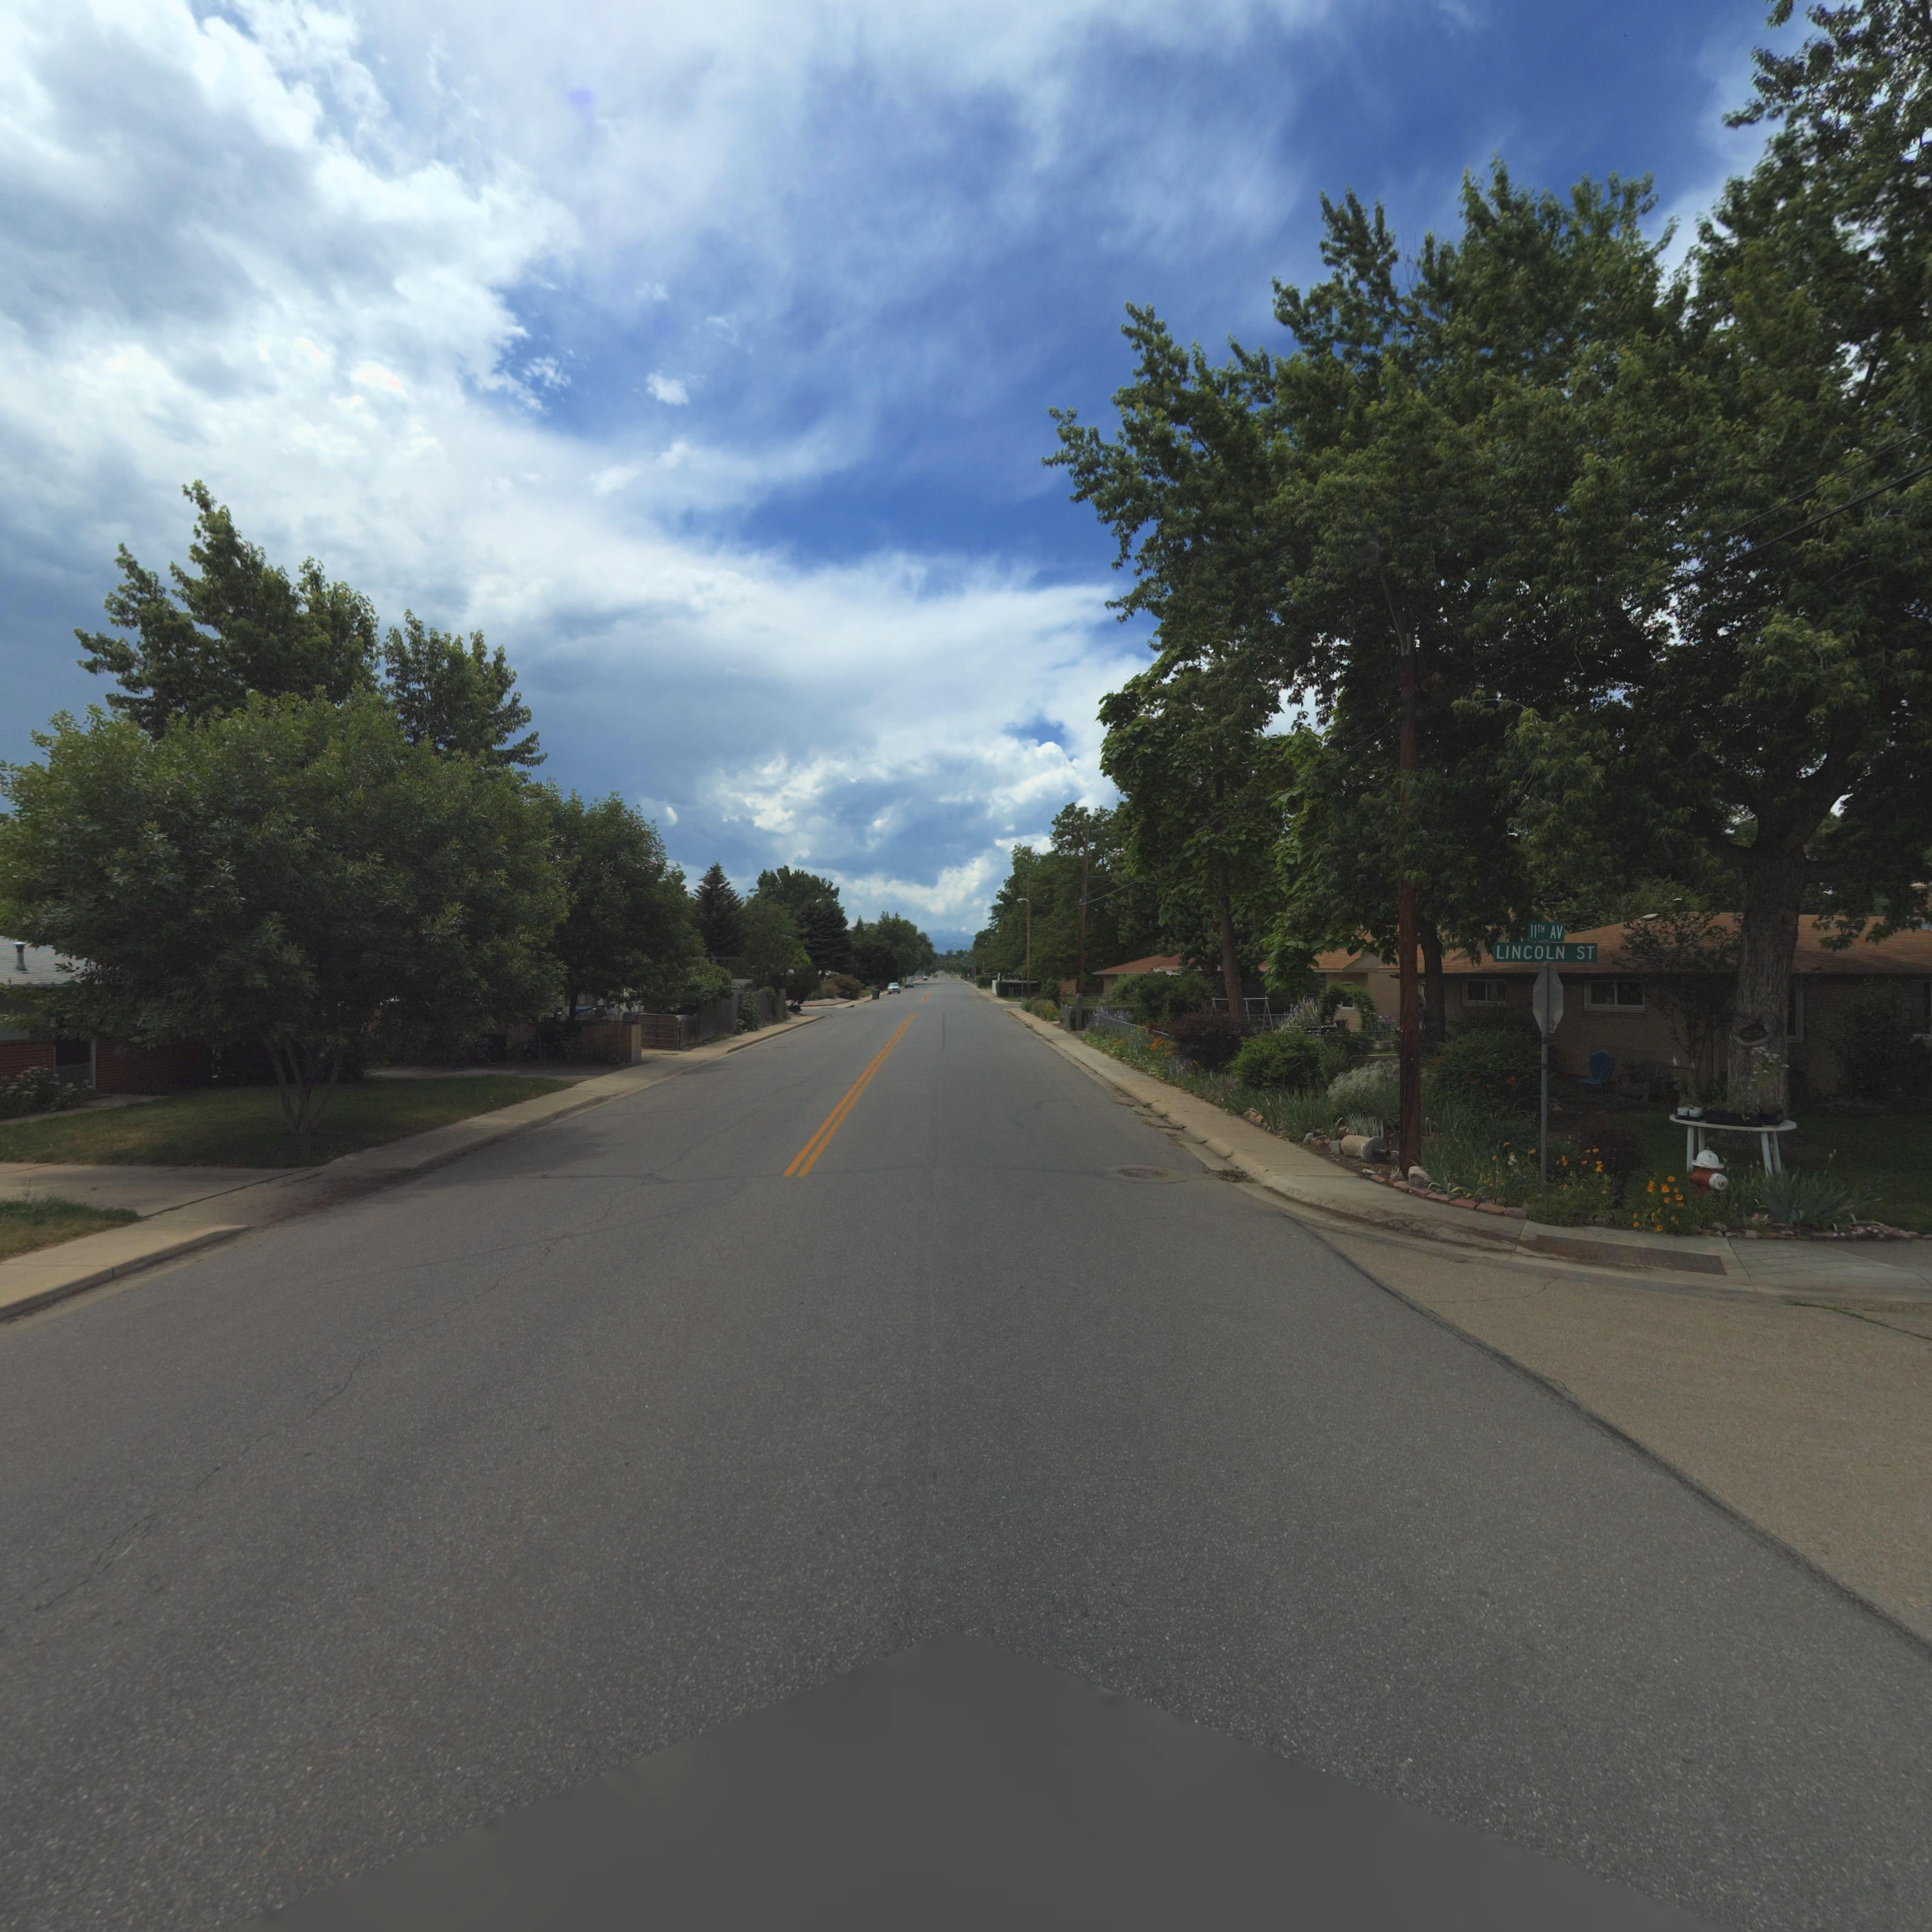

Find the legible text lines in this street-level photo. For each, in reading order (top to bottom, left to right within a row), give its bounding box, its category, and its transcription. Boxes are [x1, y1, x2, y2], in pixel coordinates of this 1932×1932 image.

[1530, 924, 1564, 940] StreetName: 11TH AV
[1494, 944, 1595, 960] StreetName: LINCOLN ST